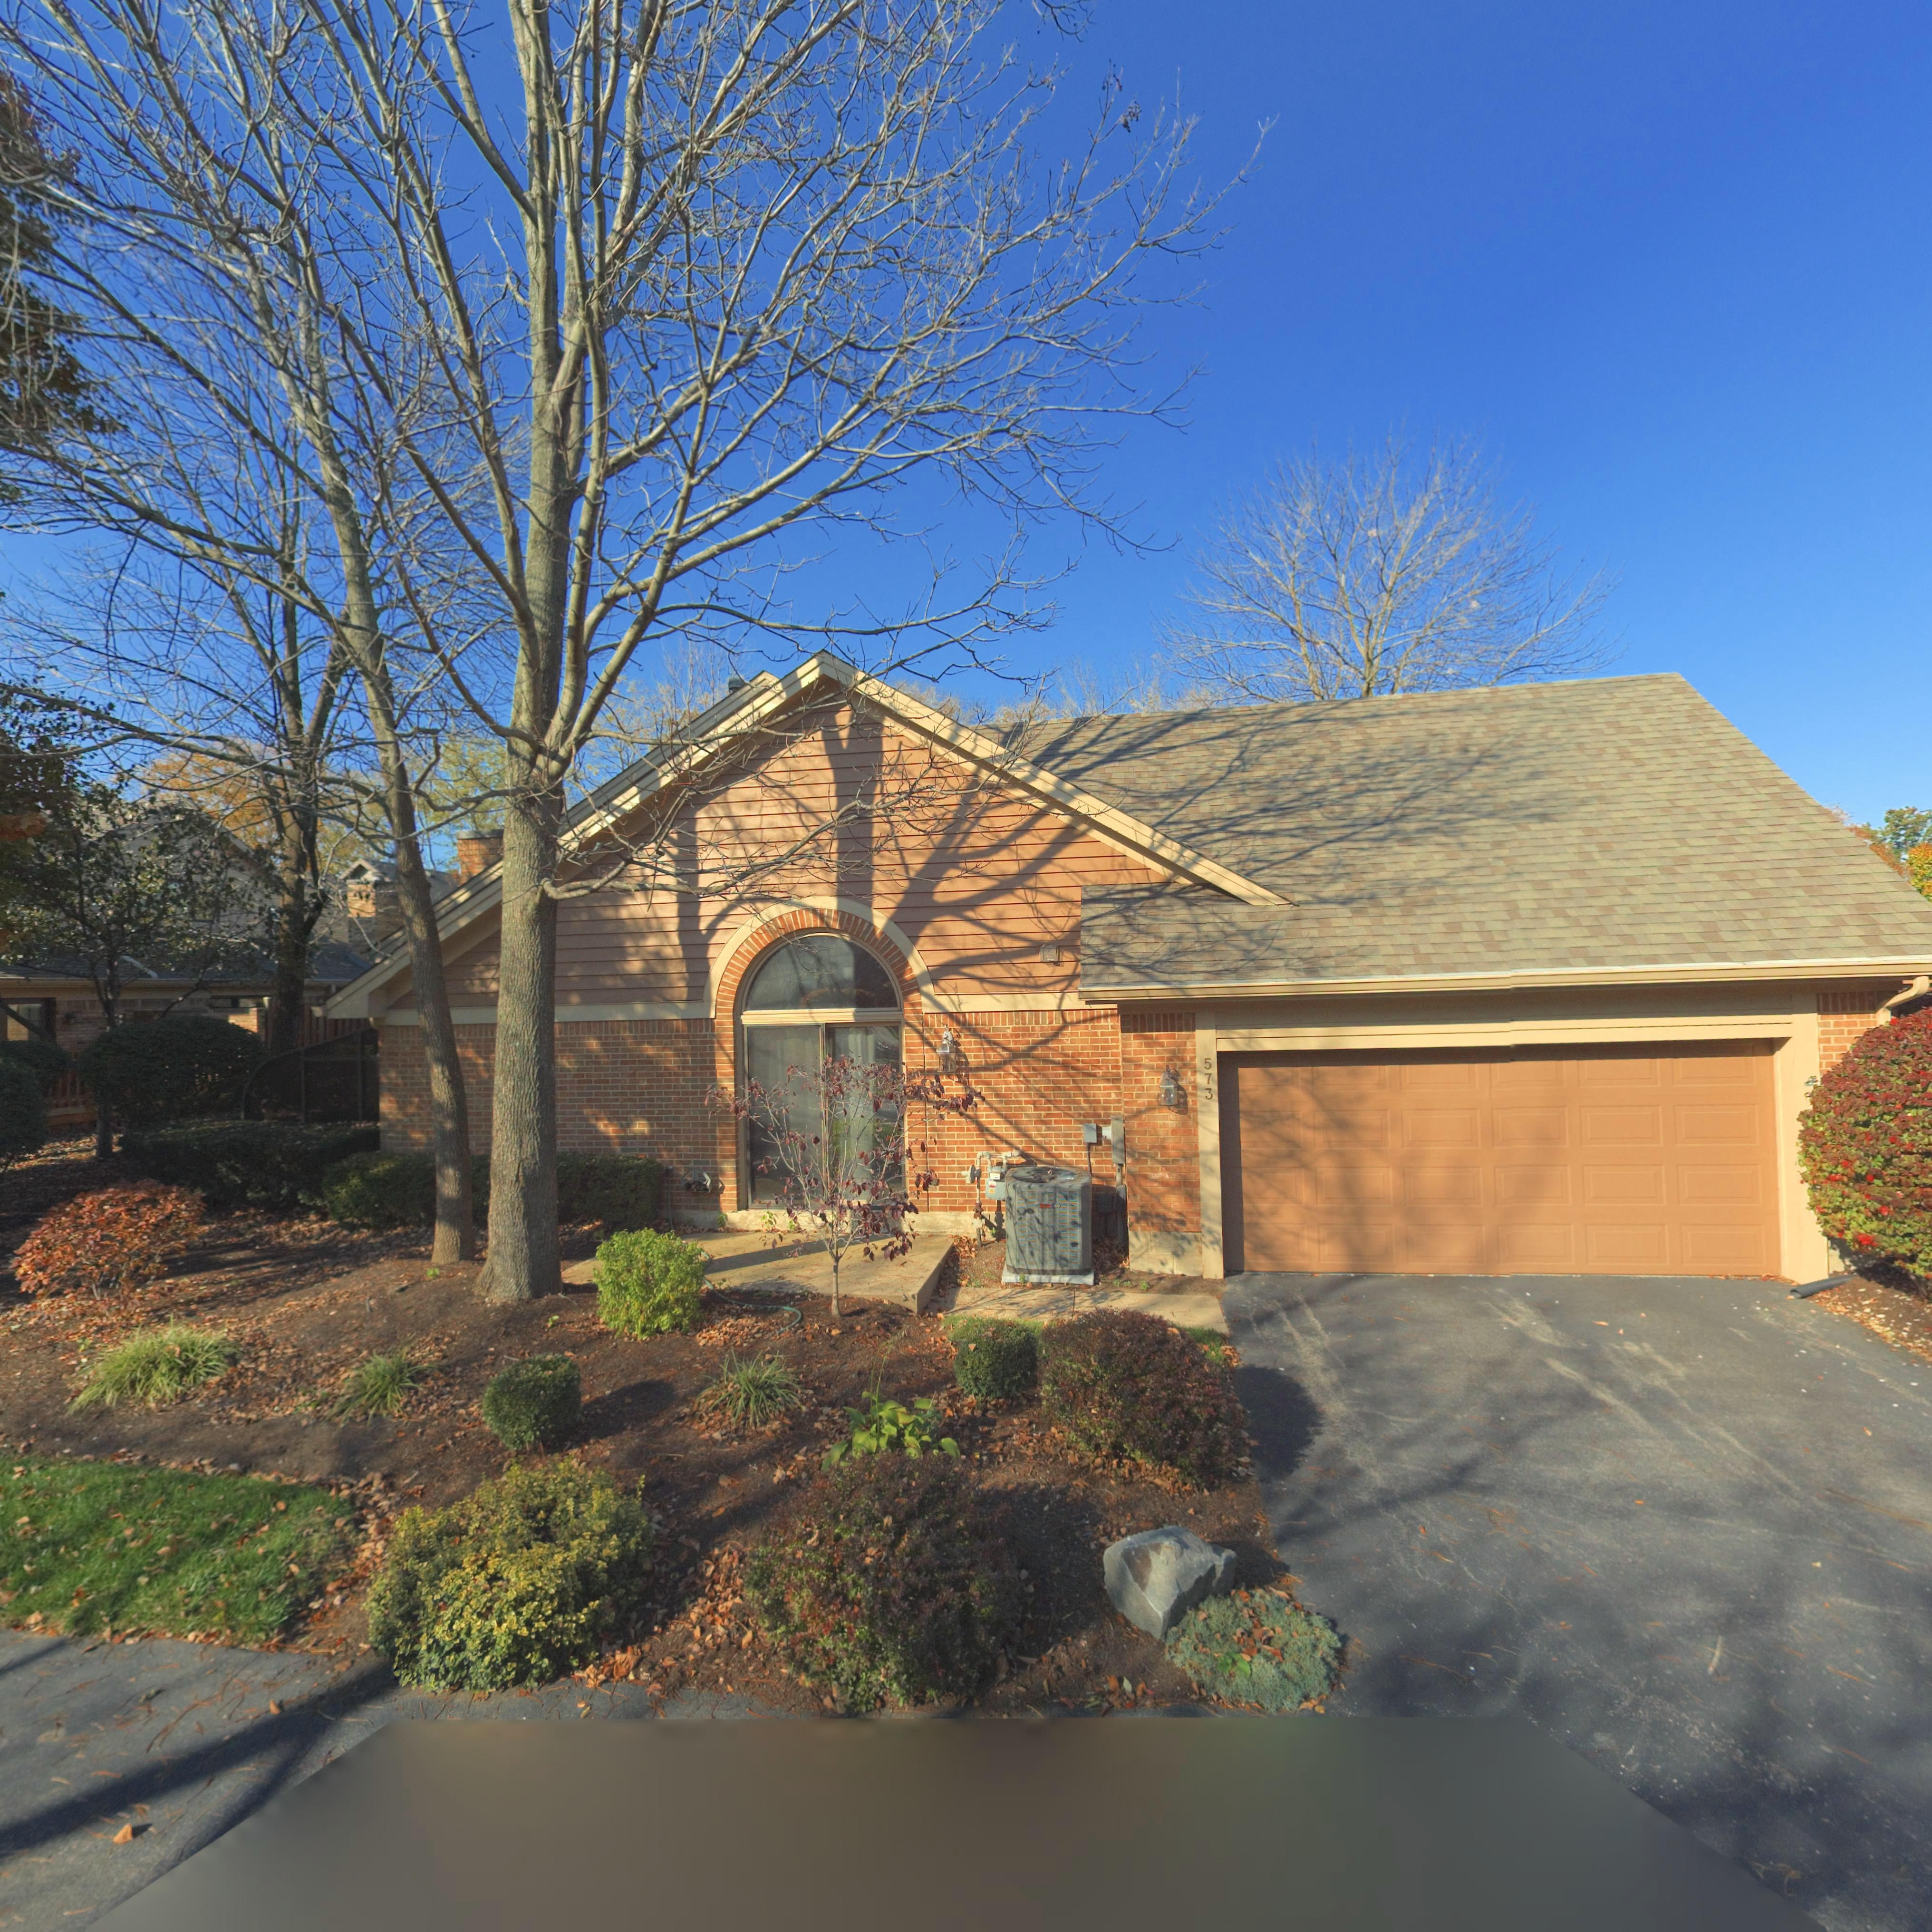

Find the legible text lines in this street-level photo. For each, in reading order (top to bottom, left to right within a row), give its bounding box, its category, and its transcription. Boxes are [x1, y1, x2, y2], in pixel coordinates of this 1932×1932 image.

[1203, 1056, 1213, 1100] StreetNumber: 573